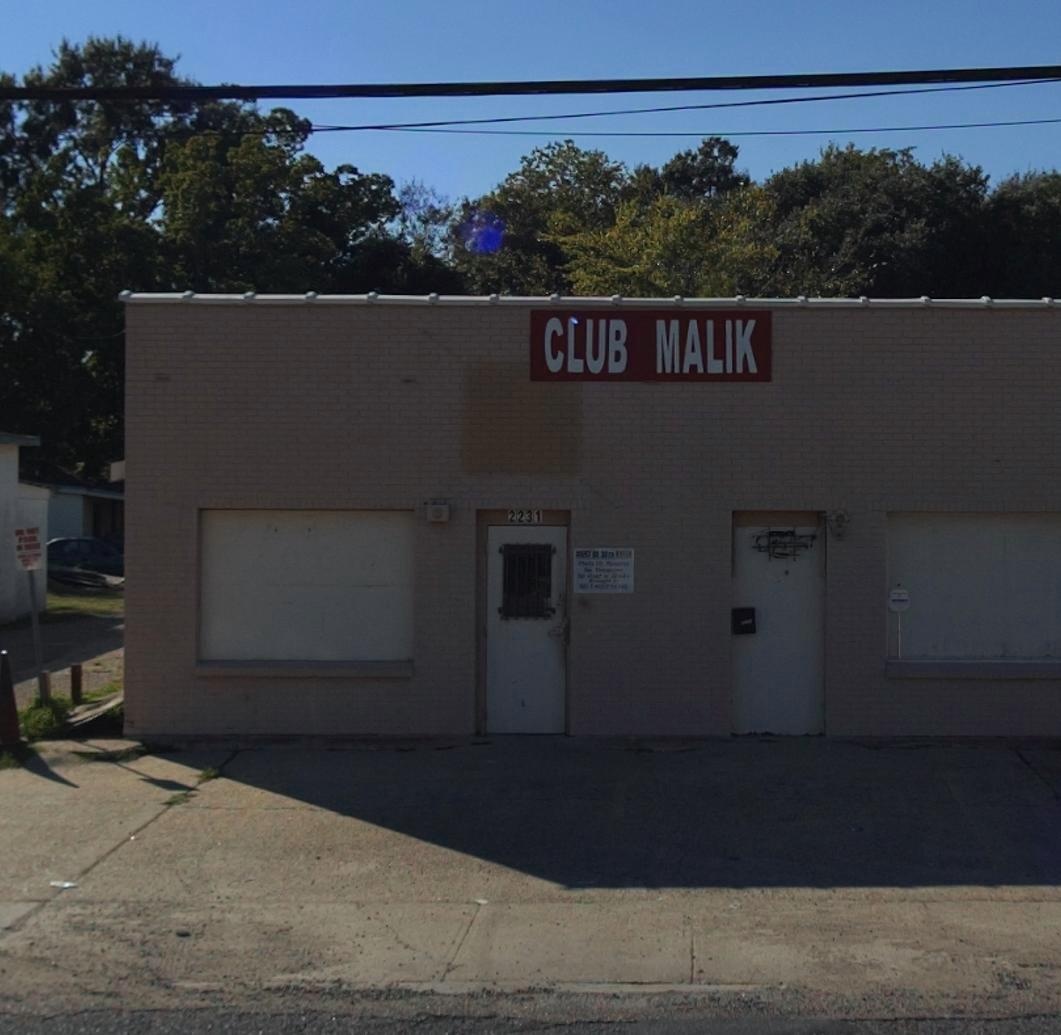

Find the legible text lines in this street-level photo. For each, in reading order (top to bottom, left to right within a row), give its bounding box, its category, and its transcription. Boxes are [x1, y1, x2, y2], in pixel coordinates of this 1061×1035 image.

[541, 316, 759, 375] BusinessName: CLUB MALIK
[508, 509, 542, 523] StreetNumber: 2231